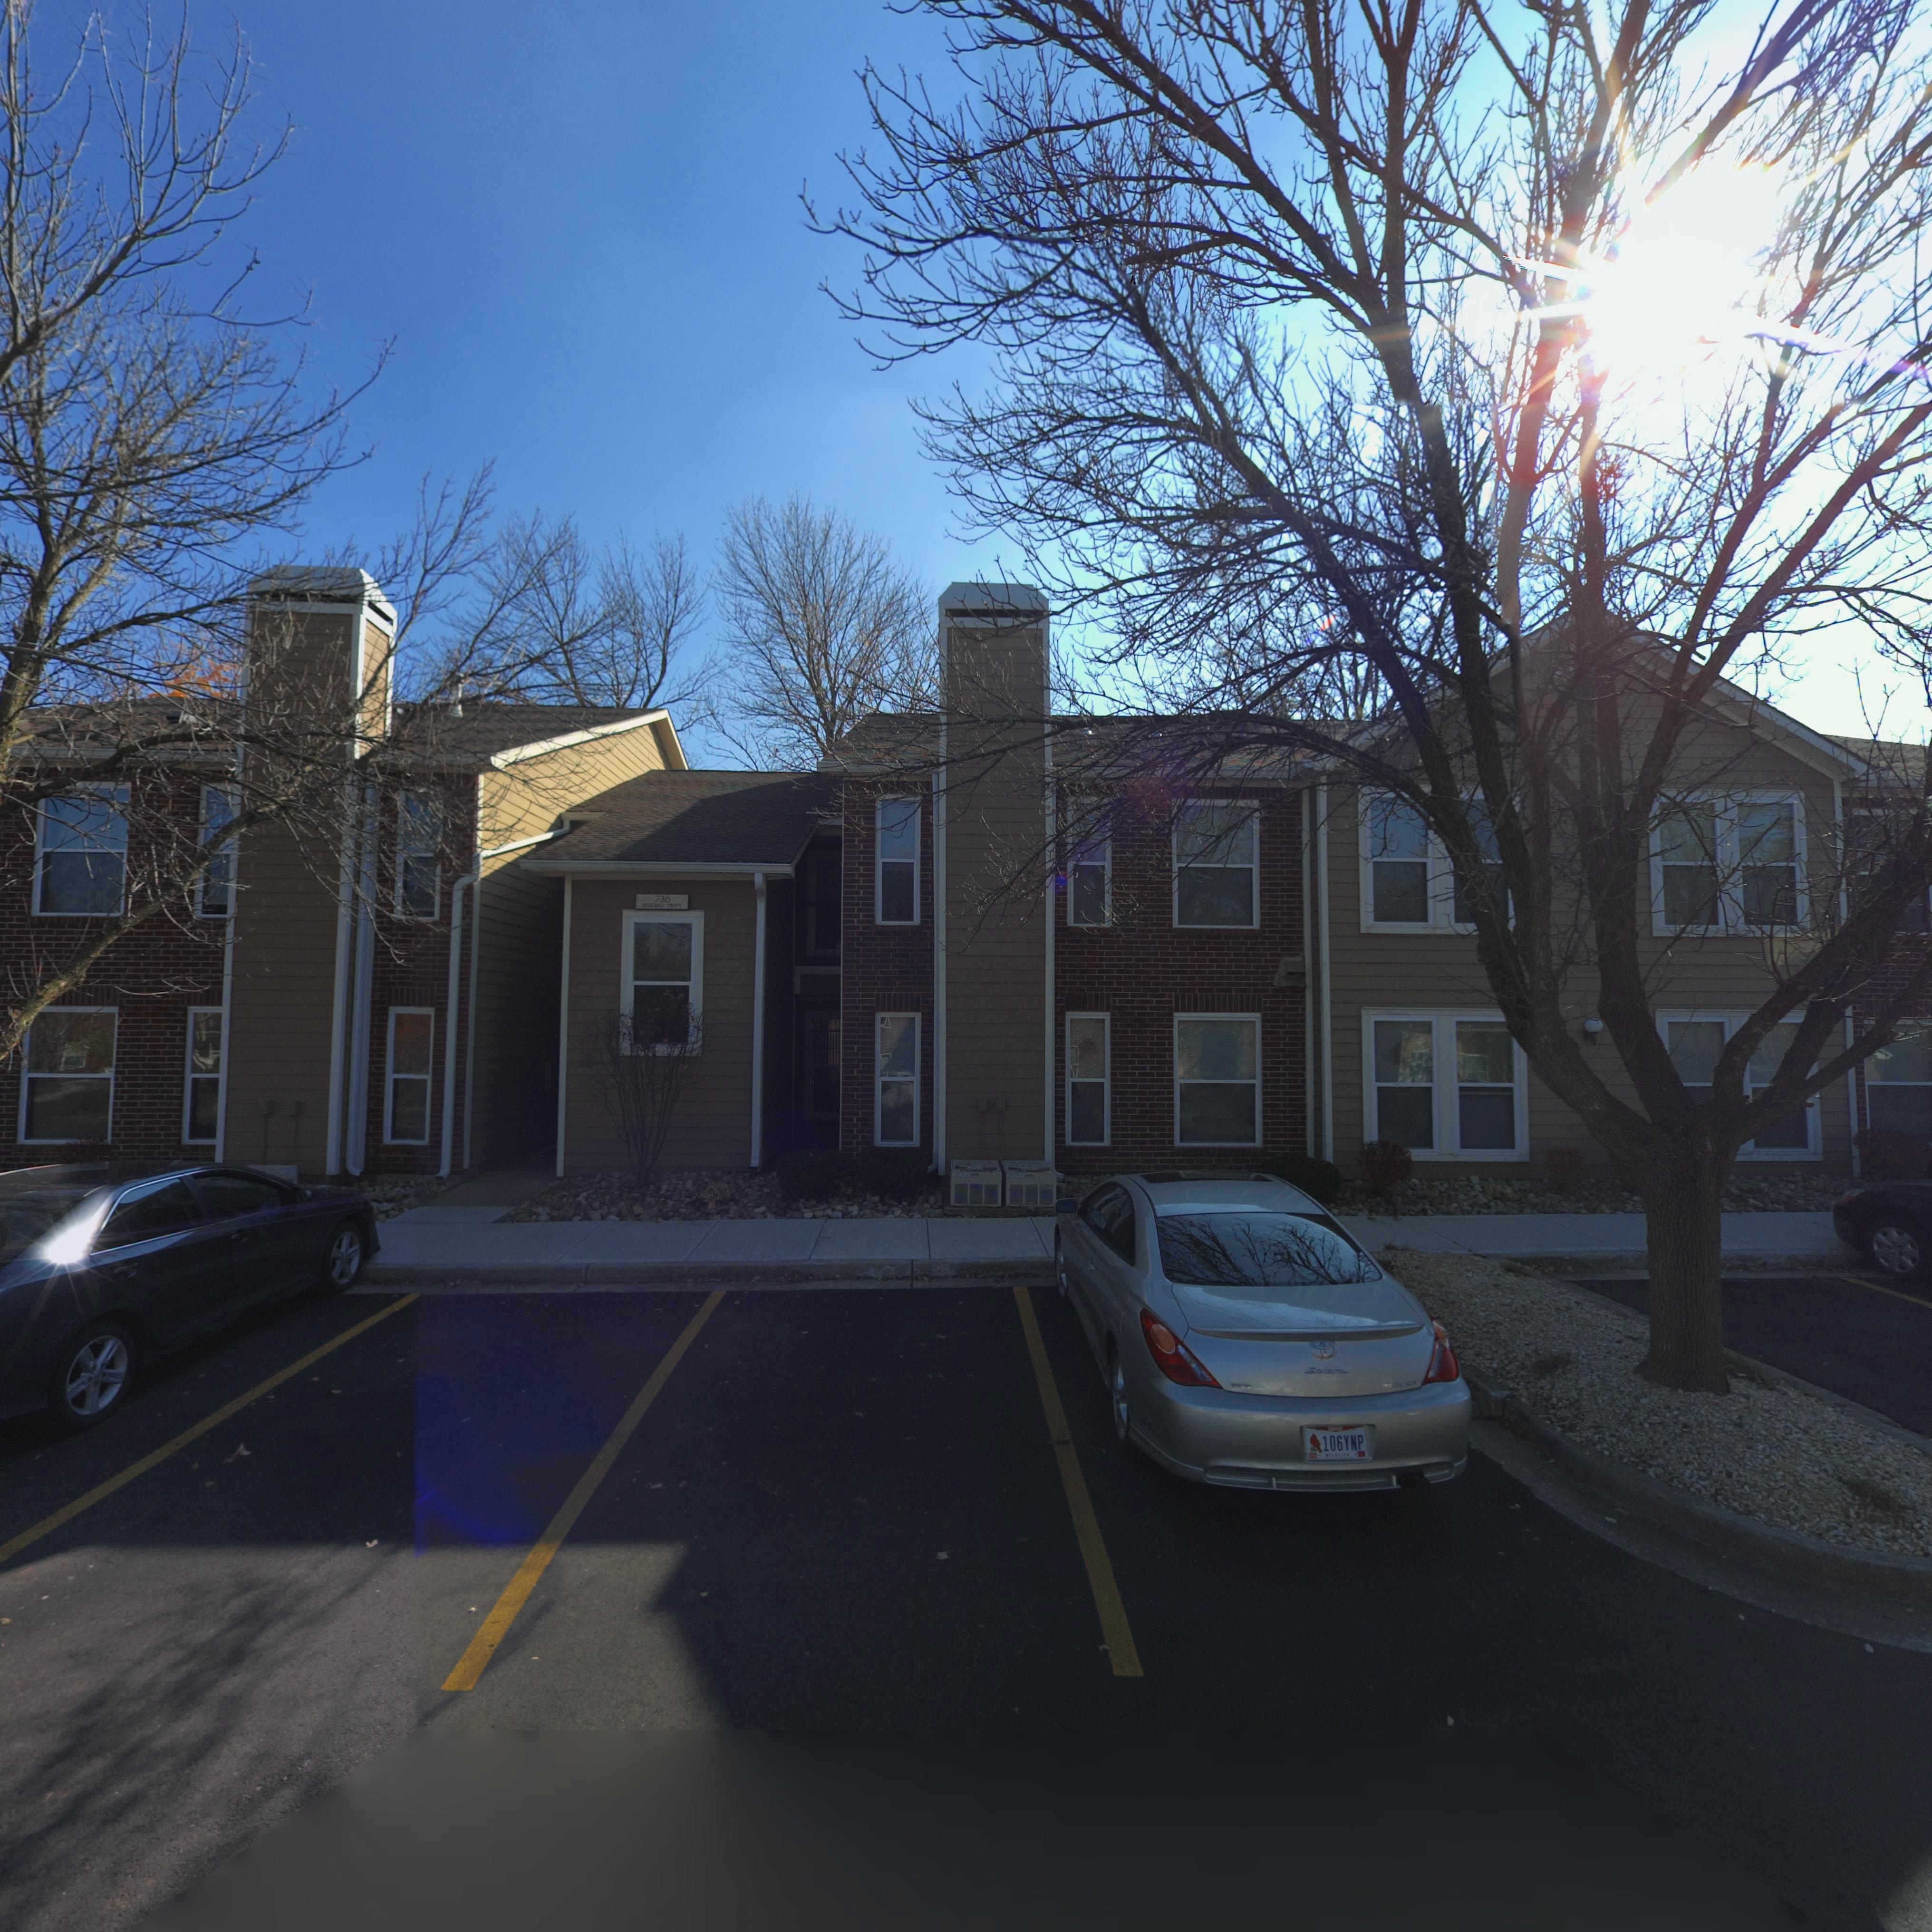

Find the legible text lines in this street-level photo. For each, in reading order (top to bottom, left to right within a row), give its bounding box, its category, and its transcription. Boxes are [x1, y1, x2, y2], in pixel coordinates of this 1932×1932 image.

[654, 894, 670, 902] None: 736
[1229, 1382, 1252, 1391] None: TOYOTA
[1327, 1426, 1343, 1431] None: OHIO
[1322, 1434, 1364, 1452] None: 106YNP
[1324, 1452, 1350, 1457] None: WILDLIFE